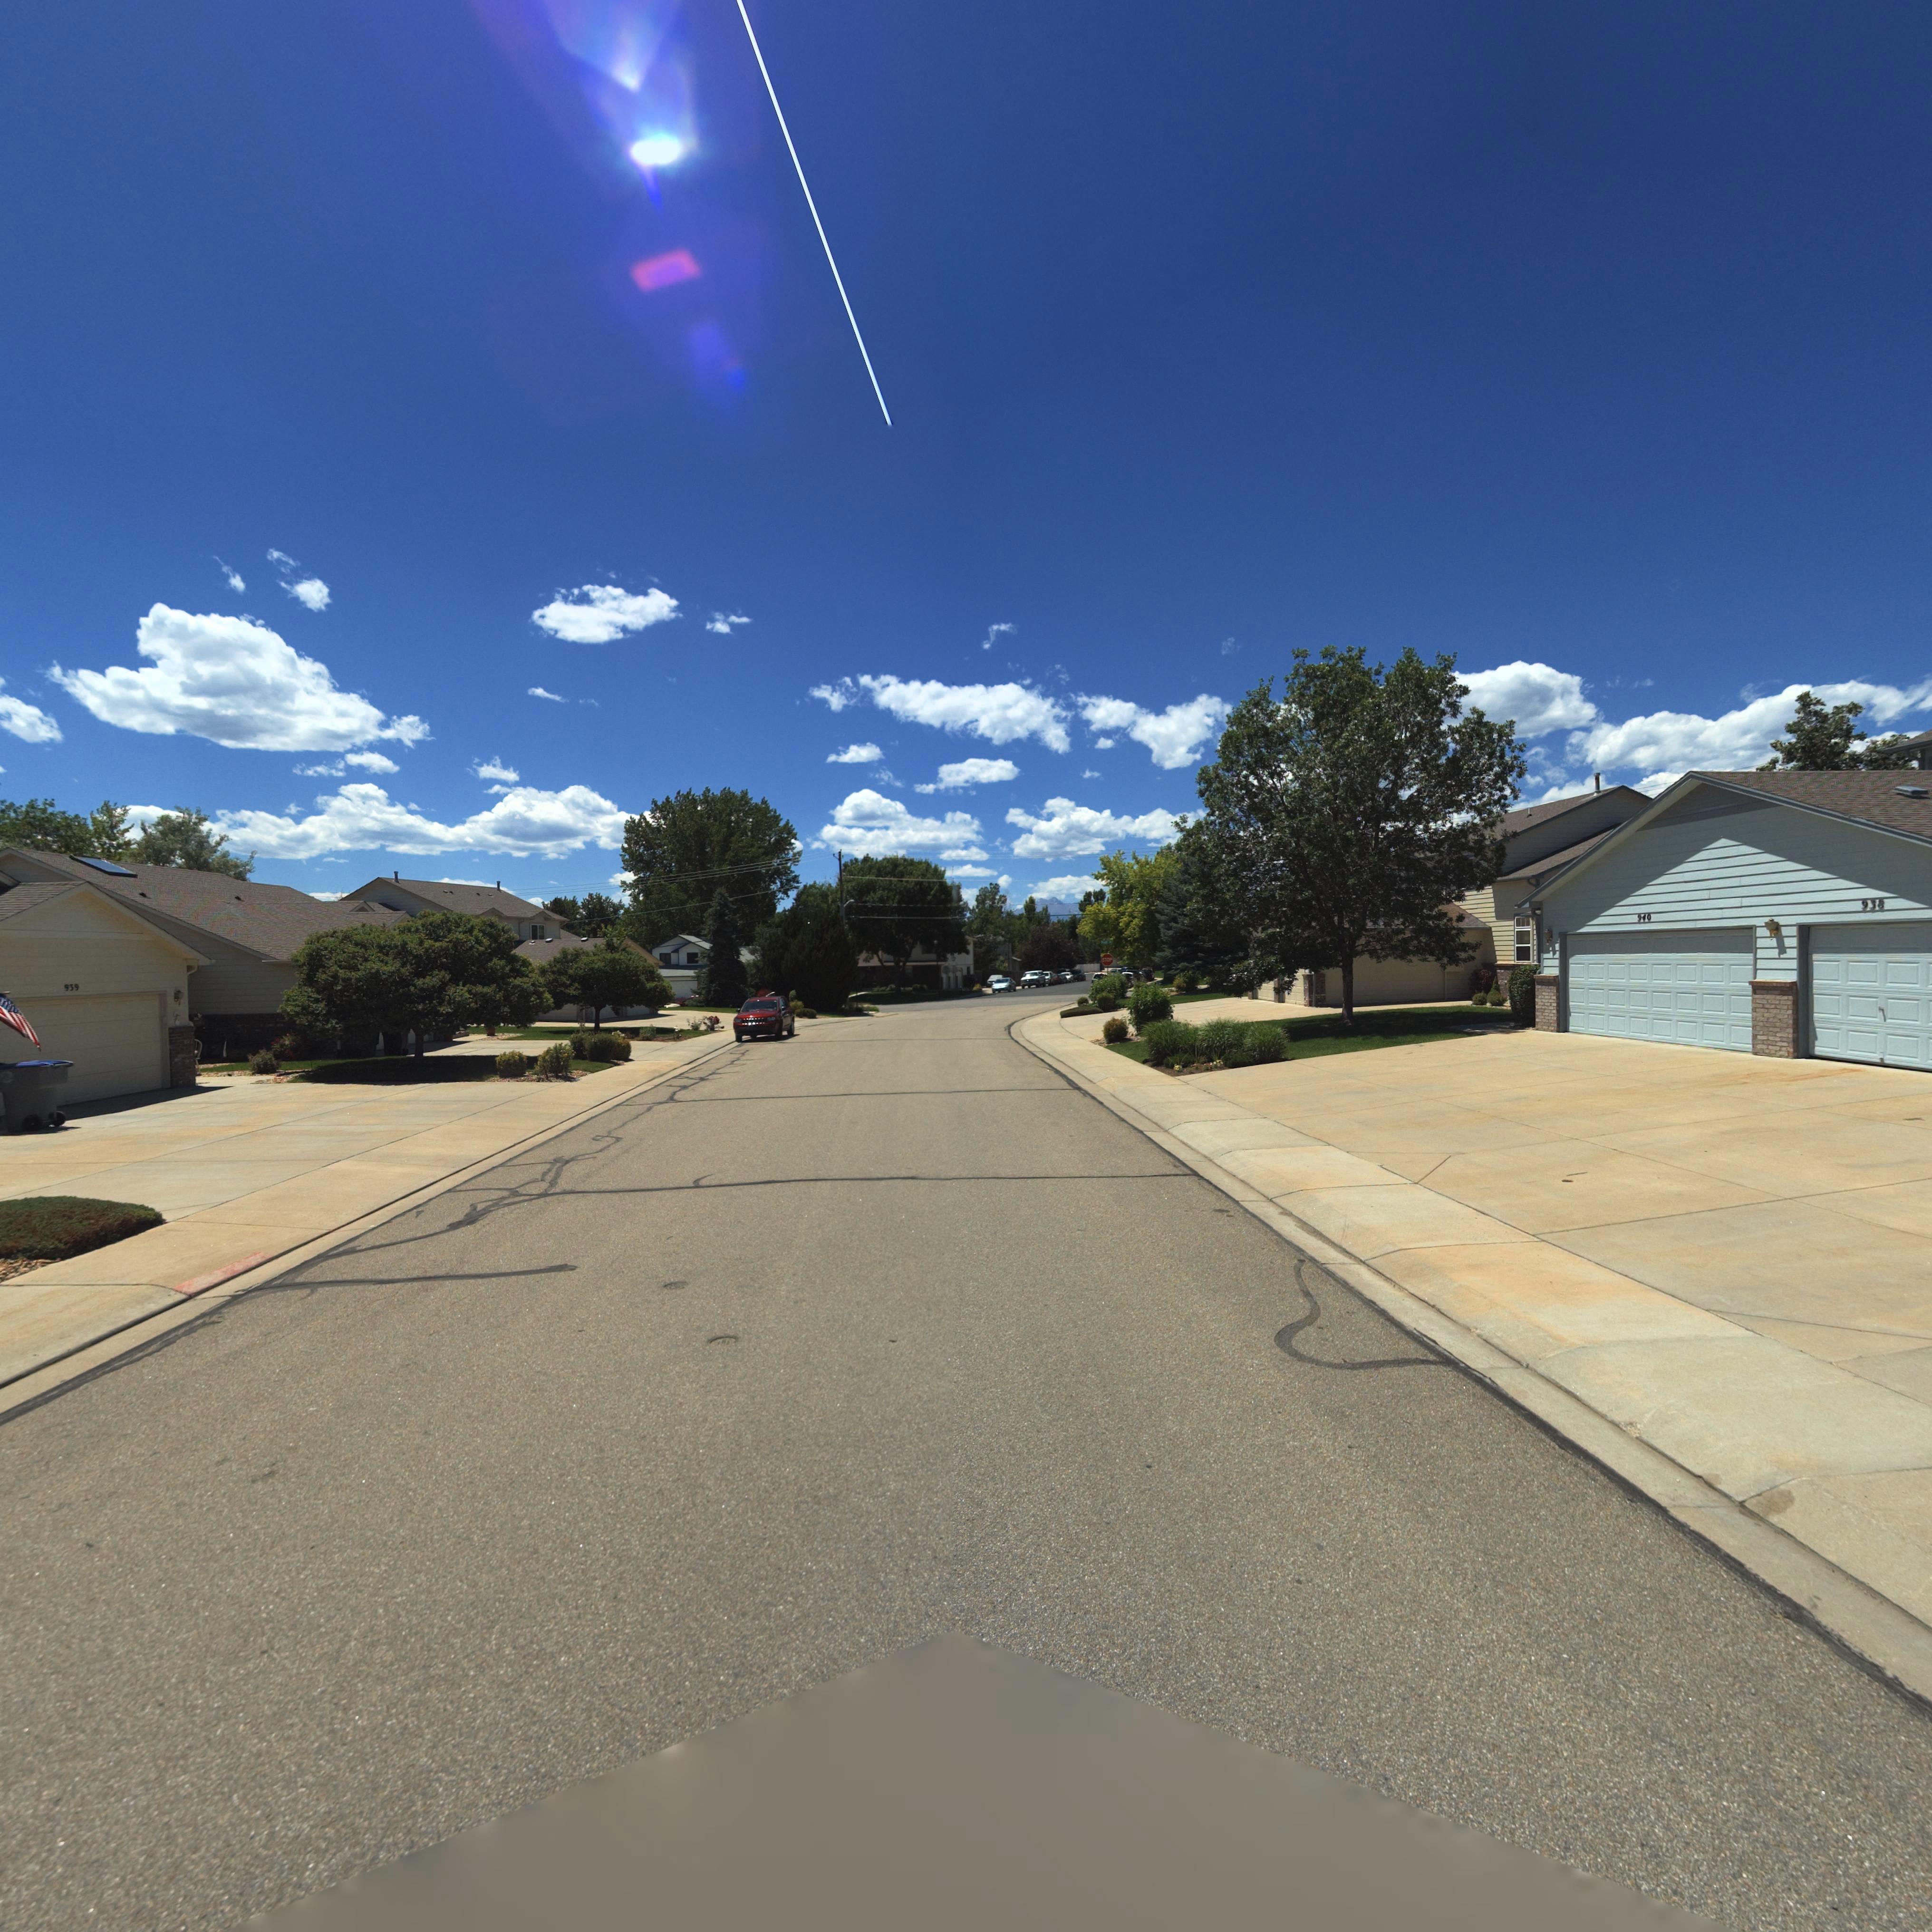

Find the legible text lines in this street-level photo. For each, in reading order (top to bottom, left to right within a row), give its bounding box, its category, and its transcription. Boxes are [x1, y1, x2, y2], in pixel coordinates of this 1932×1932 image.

[1861, 898, 1885, 909] StreetNumber: 938
[1637, 913, 1652, 921] StreetNumber: 940
[63, 983, 80, 992] StreetNumber: 939